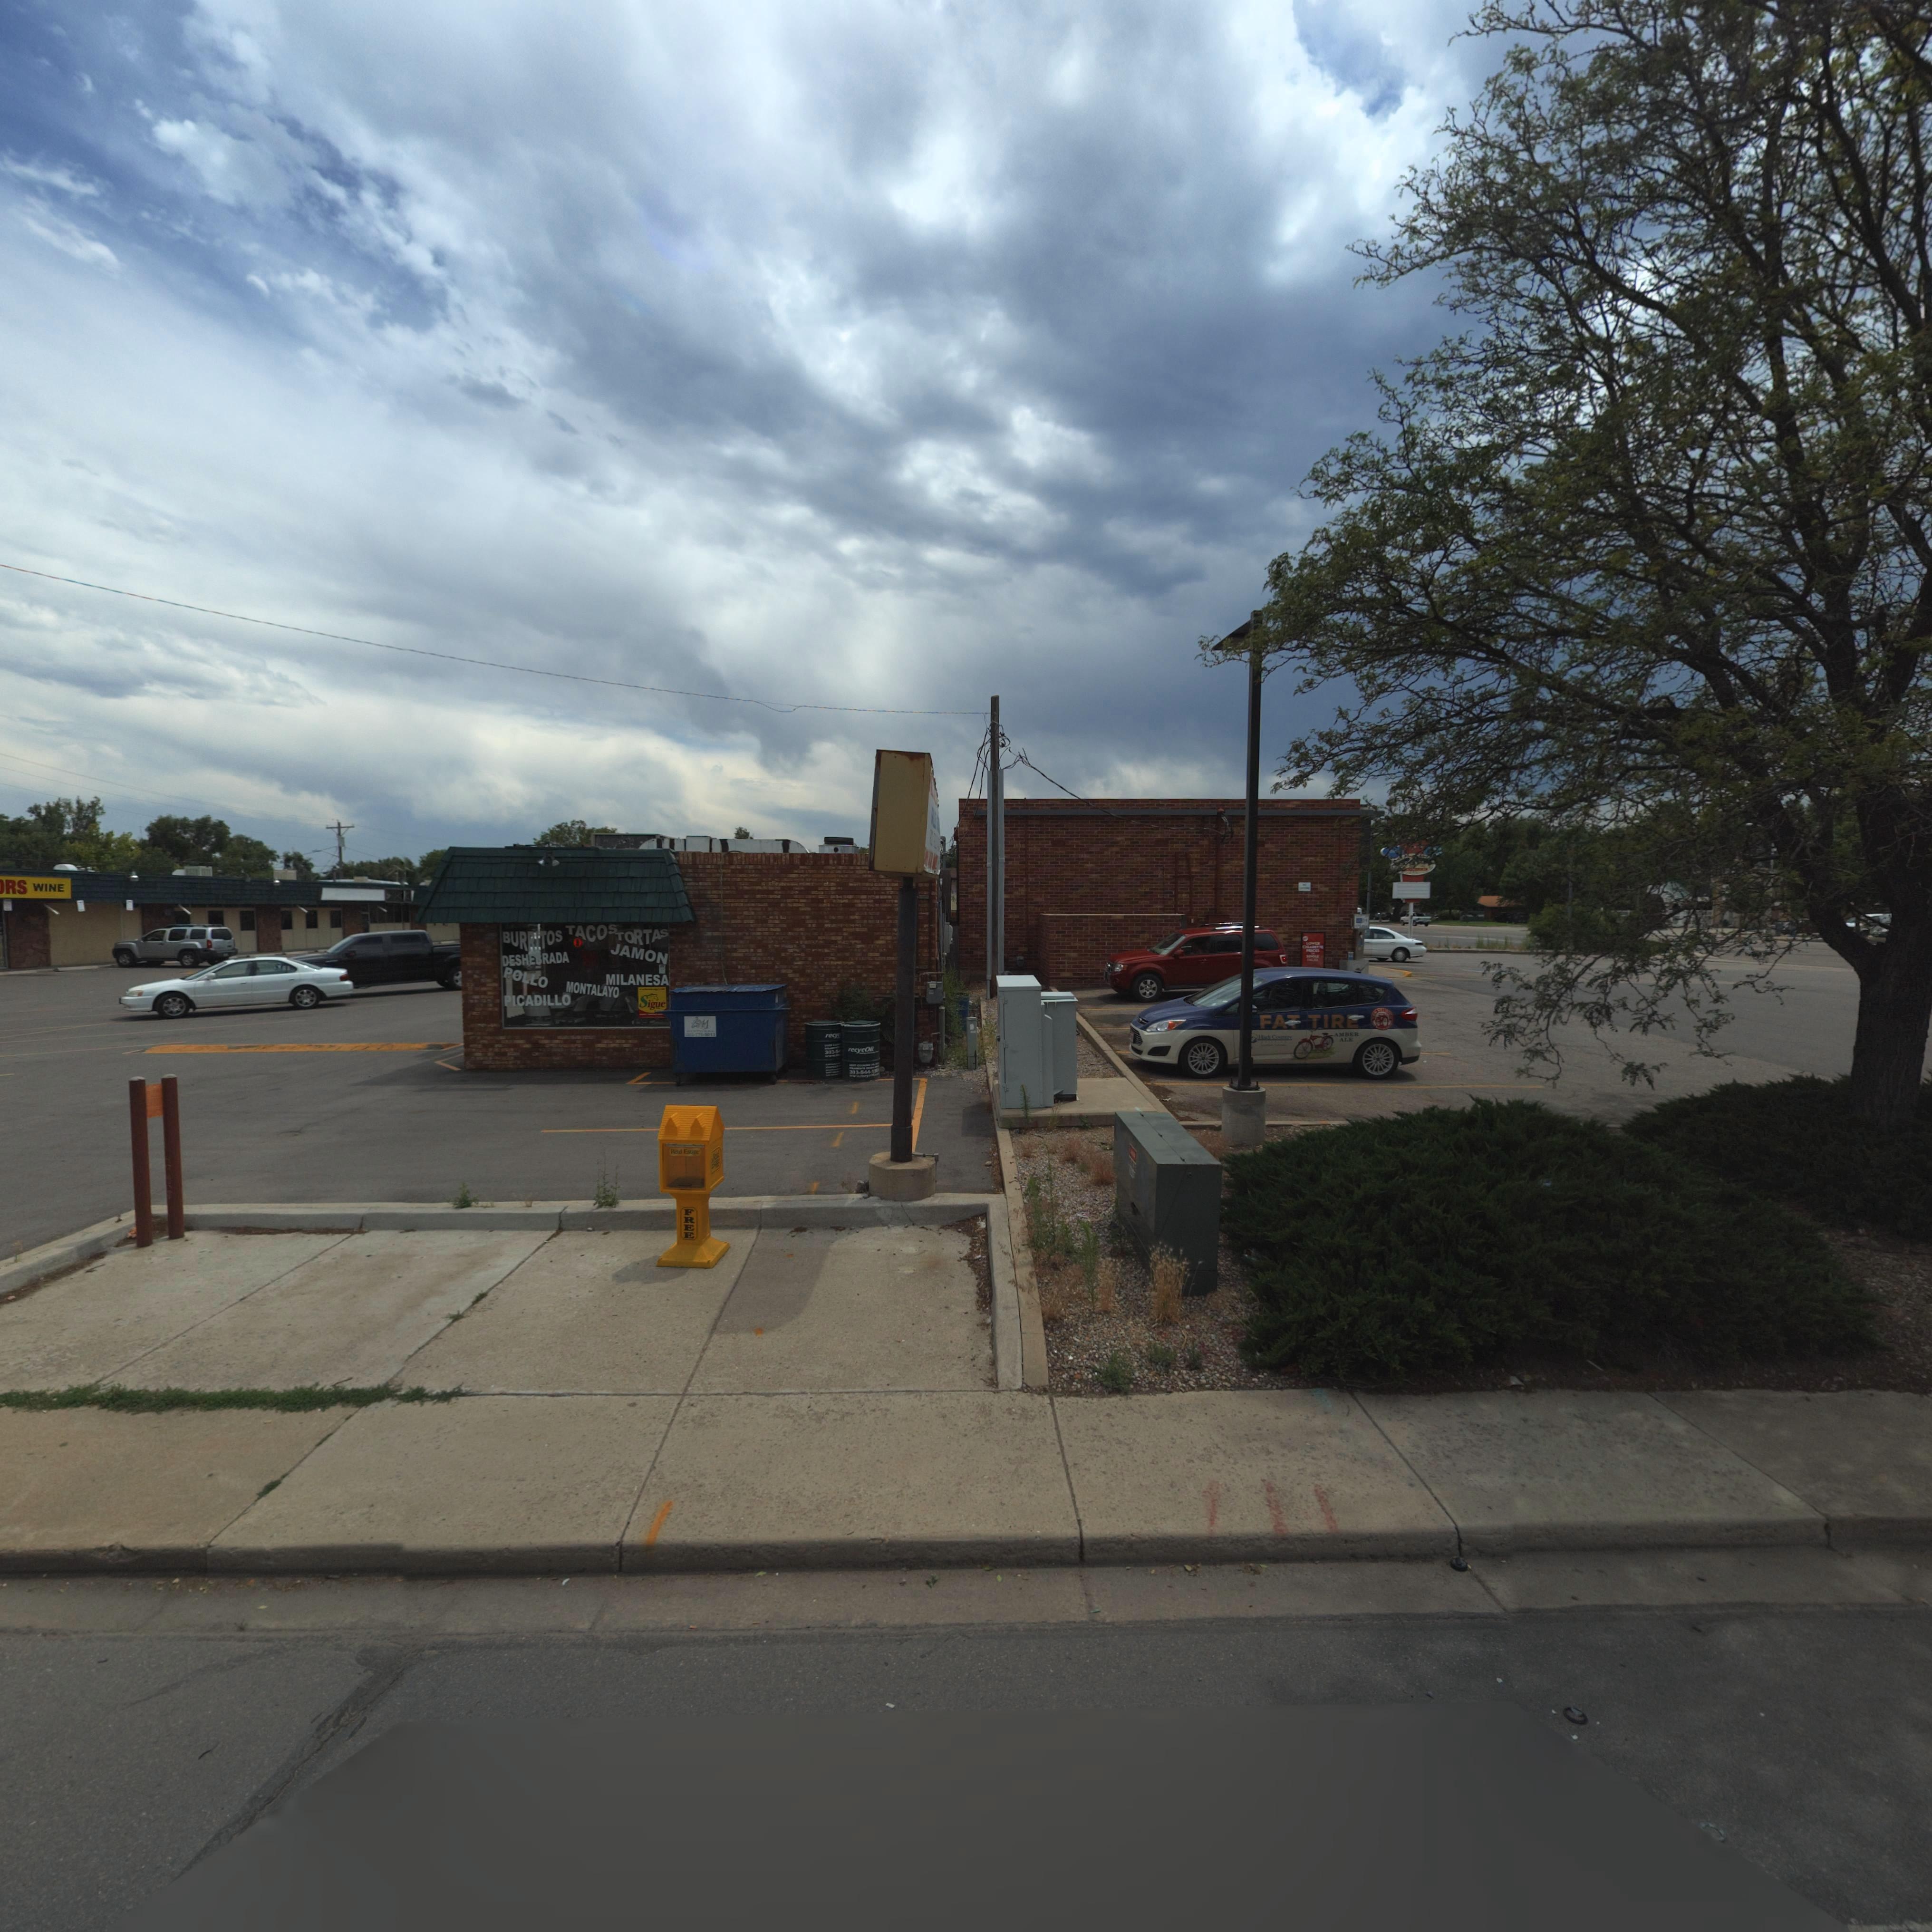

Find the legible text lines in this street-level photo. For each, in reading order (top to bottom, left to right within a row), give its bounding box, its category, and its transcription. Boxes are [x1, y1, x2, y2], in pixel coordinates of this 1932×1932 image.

[5, 879, 28, 895] BusinessName: RS